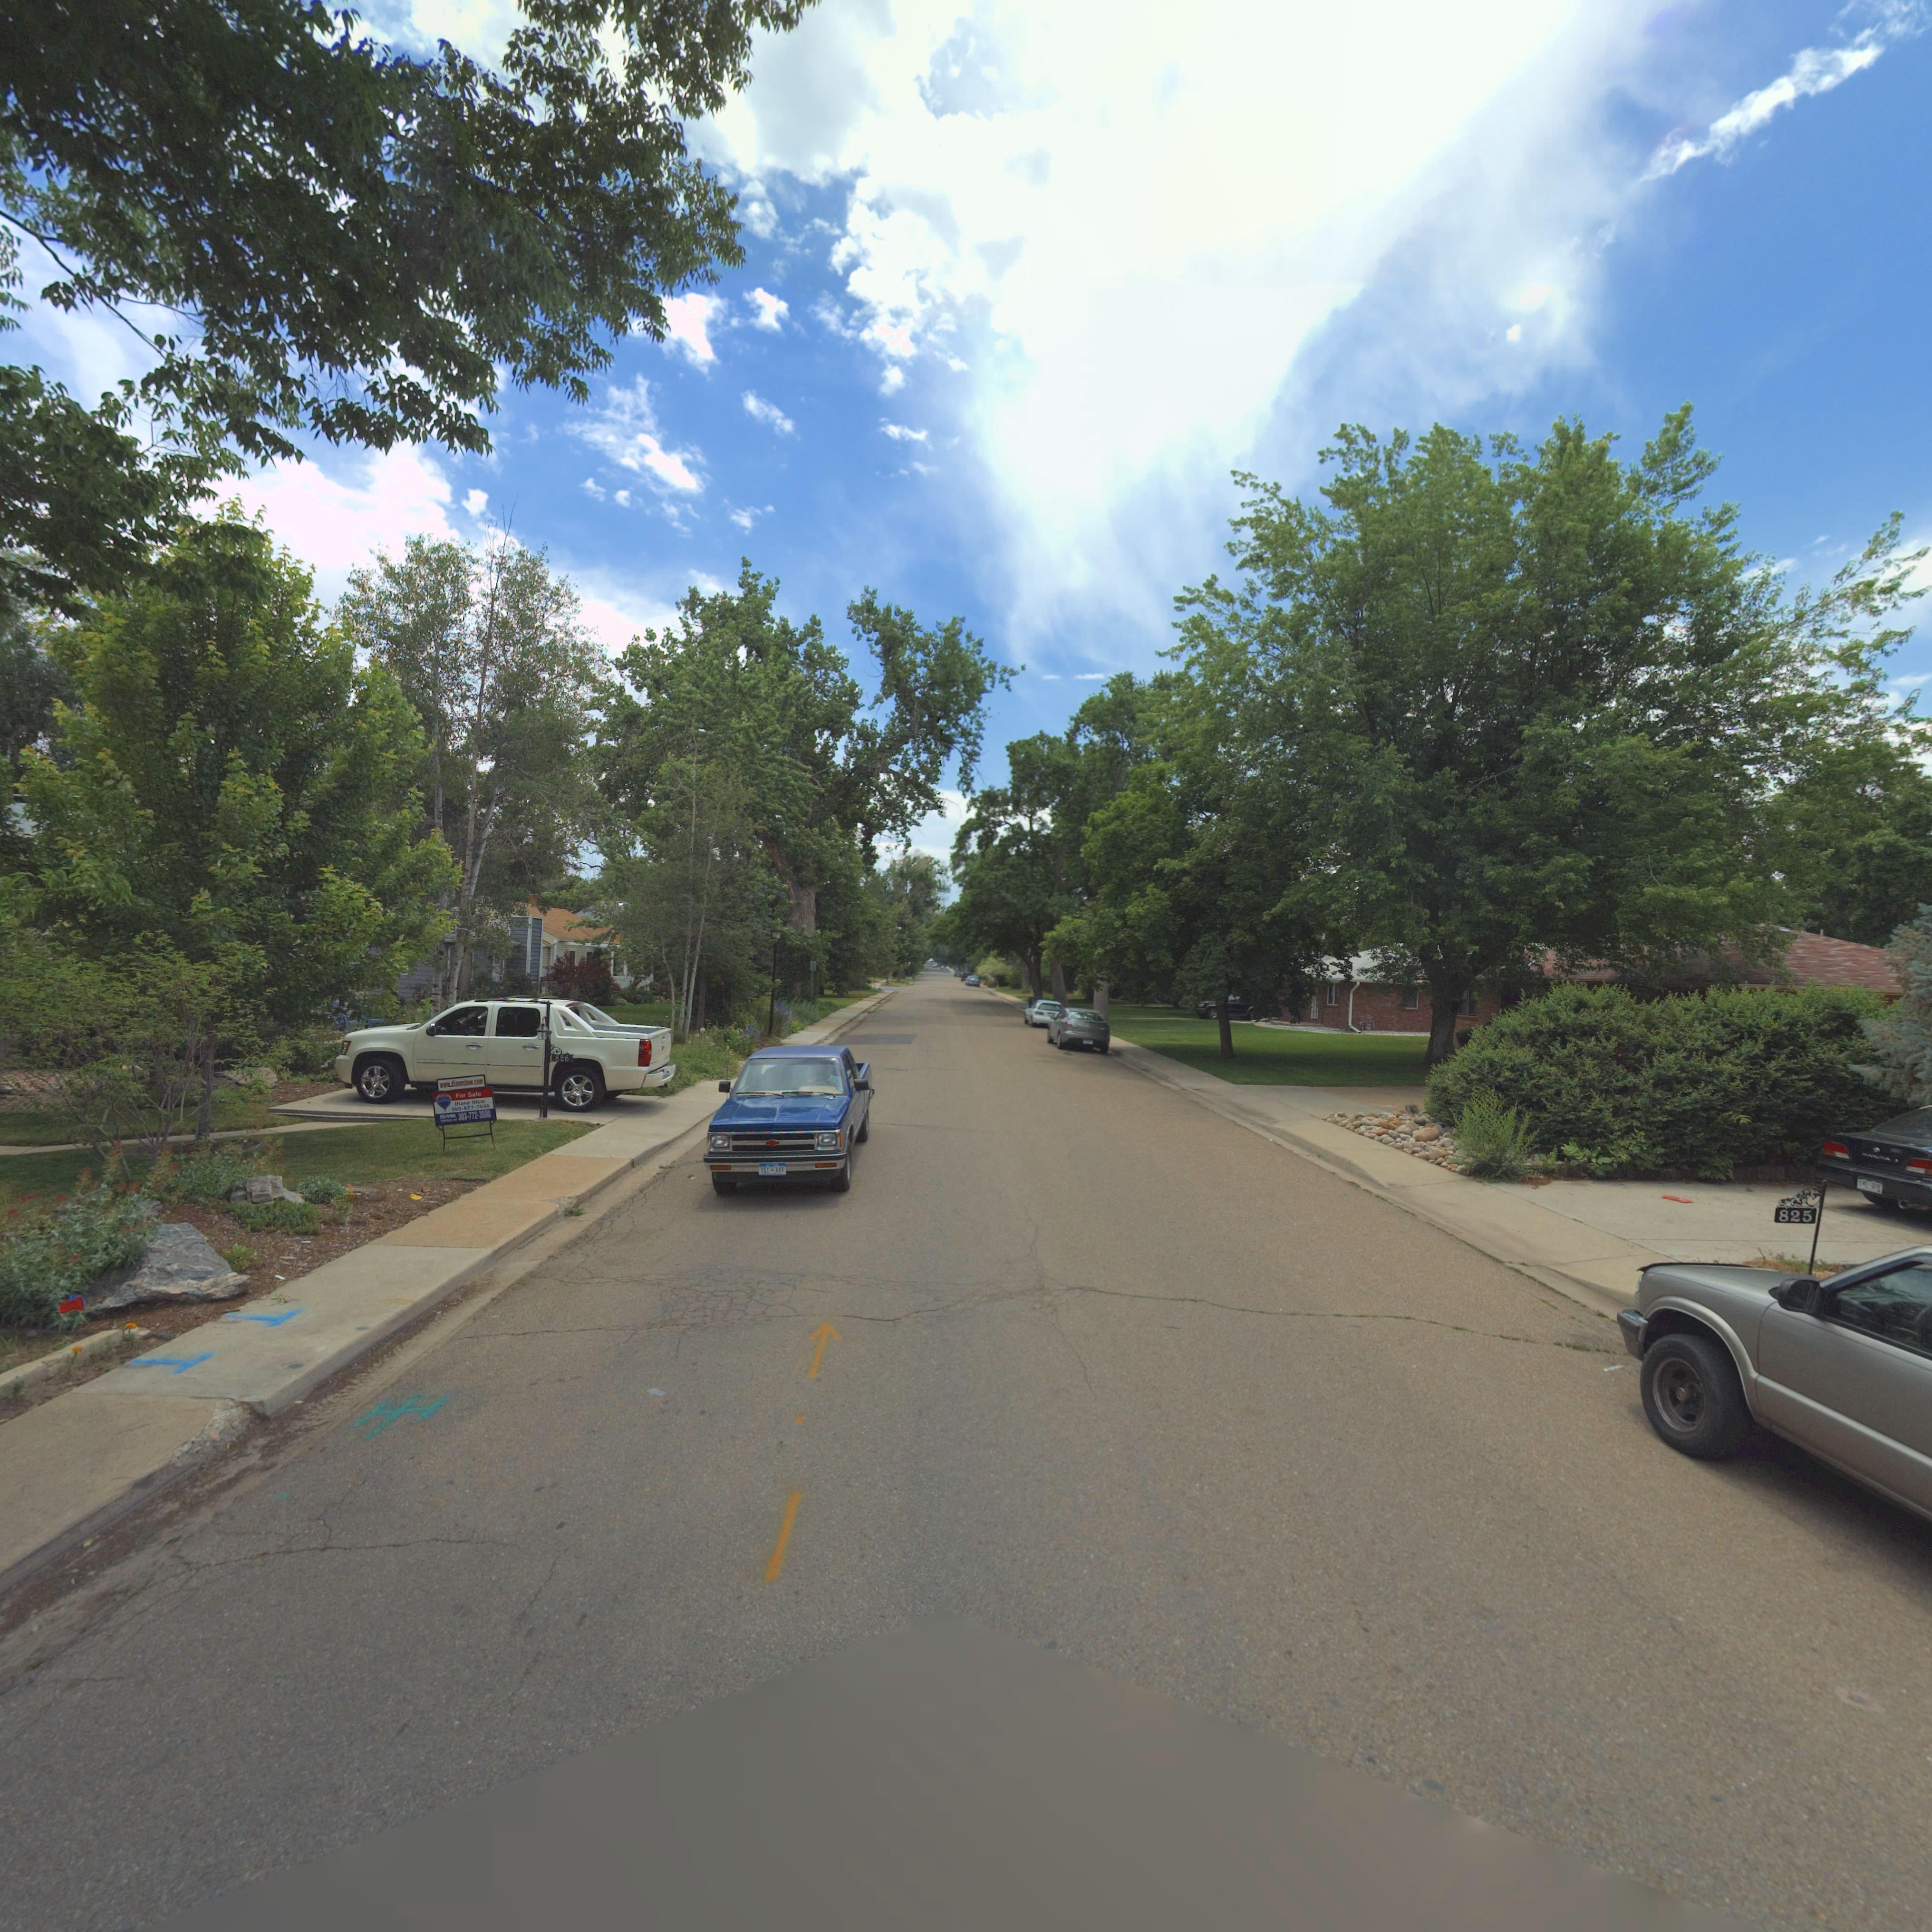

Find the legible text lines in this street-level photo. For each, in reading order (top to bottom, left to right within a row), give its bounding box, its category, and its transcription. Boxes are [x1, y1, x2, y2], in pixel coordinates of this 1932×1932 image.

[554, 1053, 569, 1063] StreetNumber: 826
[1776, 1210, 1814, 1222] StreetNumber: 825